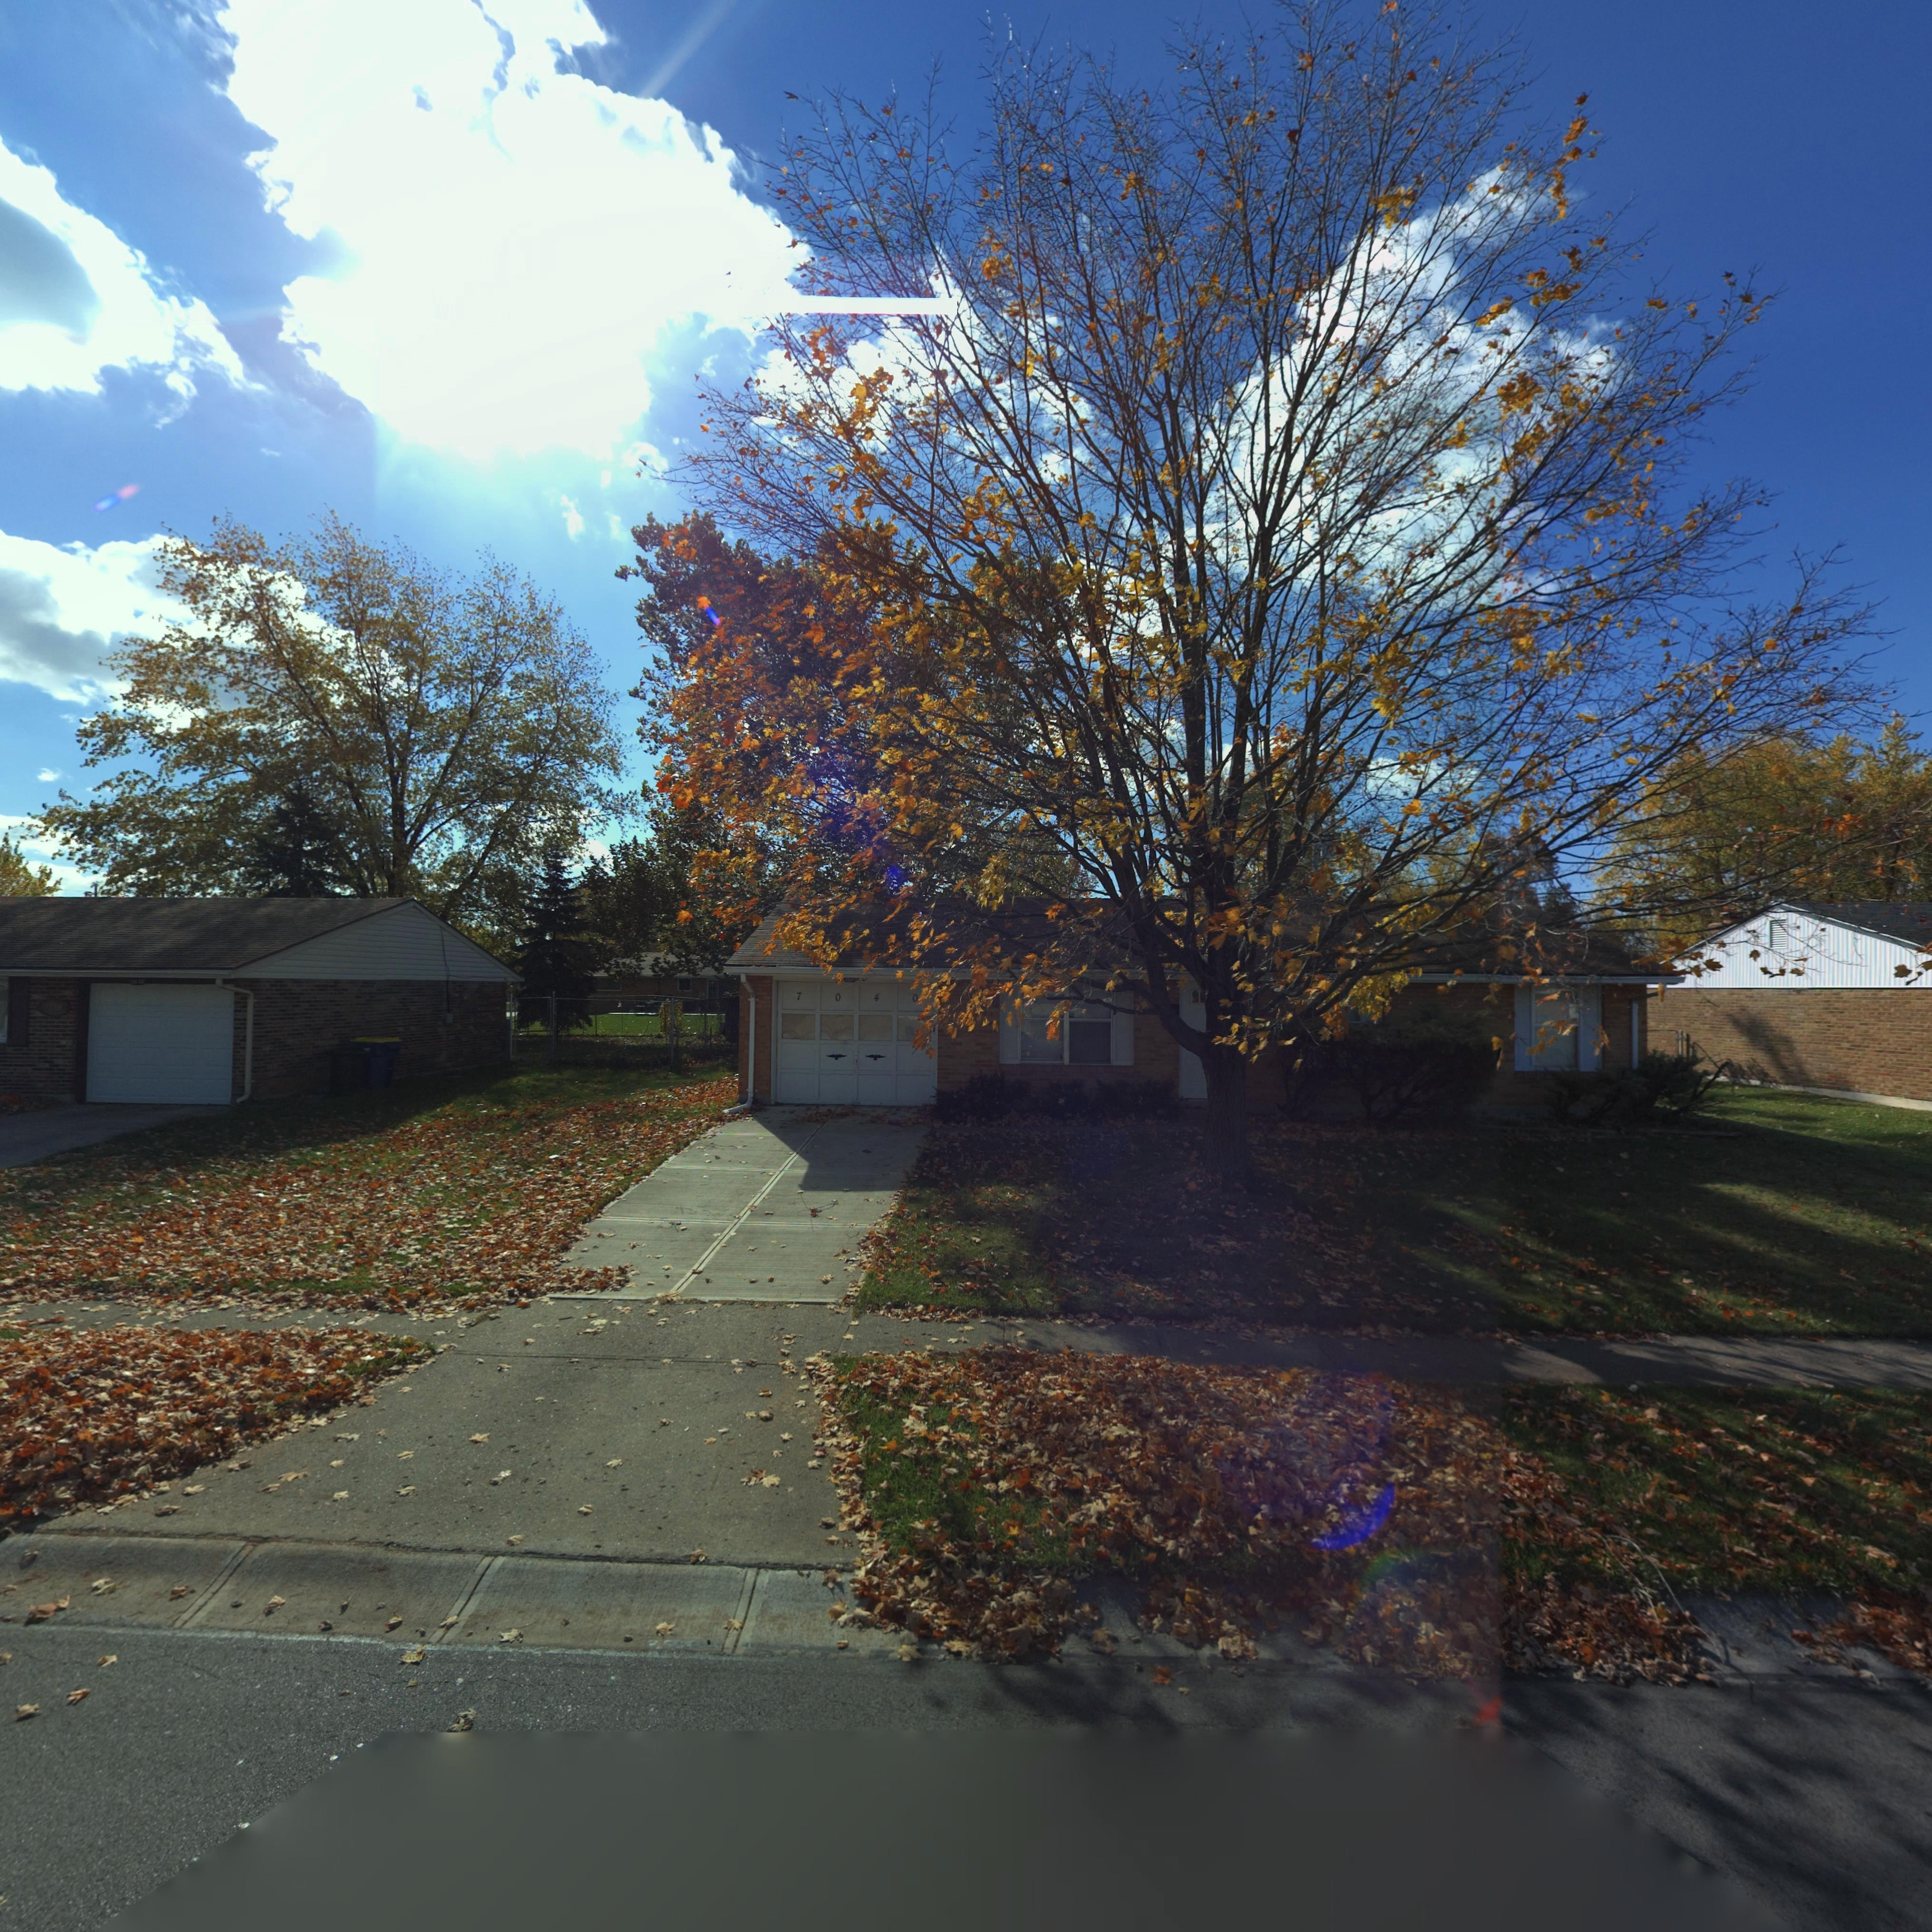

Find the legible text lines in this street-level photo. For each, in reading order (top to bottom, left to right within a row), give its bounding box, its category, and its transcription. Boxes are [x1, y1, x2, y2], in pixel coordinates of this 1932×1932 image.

[795, 991, 919, 1004] StreetNumber: 7*0*4*0